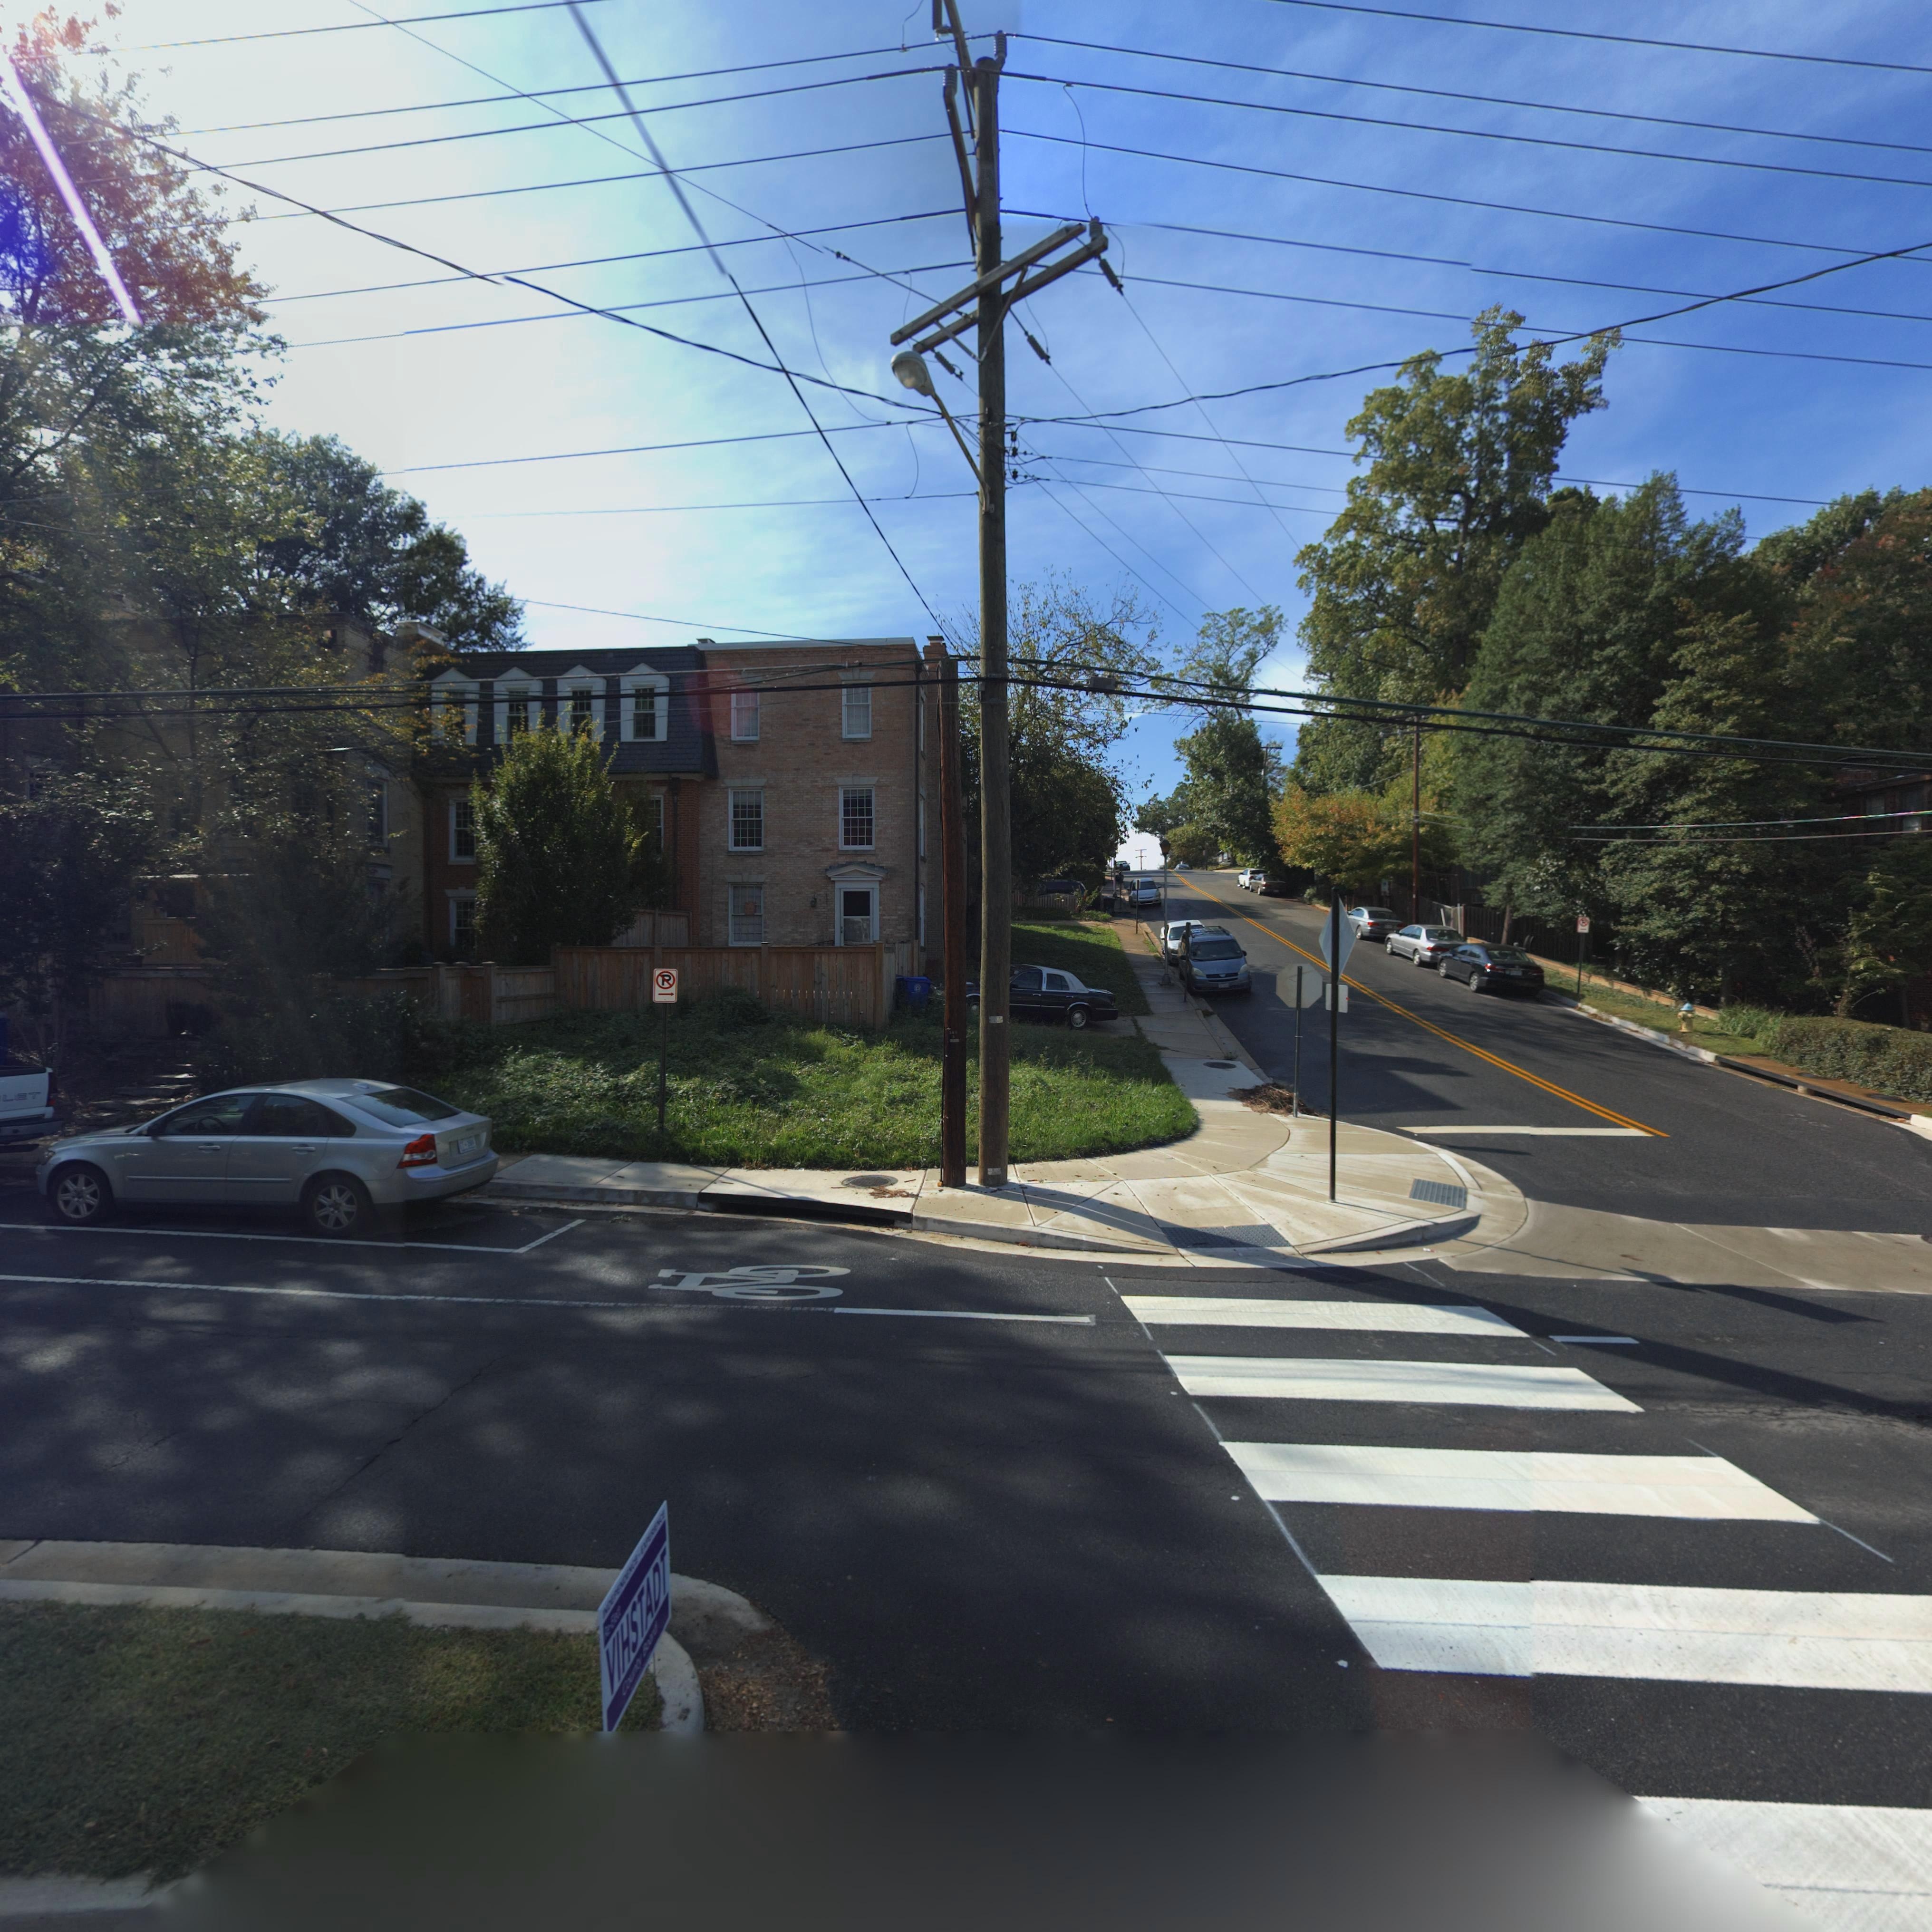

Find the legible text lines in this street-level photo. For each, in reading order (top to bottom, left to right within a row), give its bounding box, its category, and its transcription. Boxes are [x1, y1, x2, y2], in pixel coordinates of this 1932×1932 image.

[948, 1030, 957, 1034] None: 54*
[2, 1091, 41, 1102] None: LET
[604, 1544, 667, 1699] None: VIHSTADT